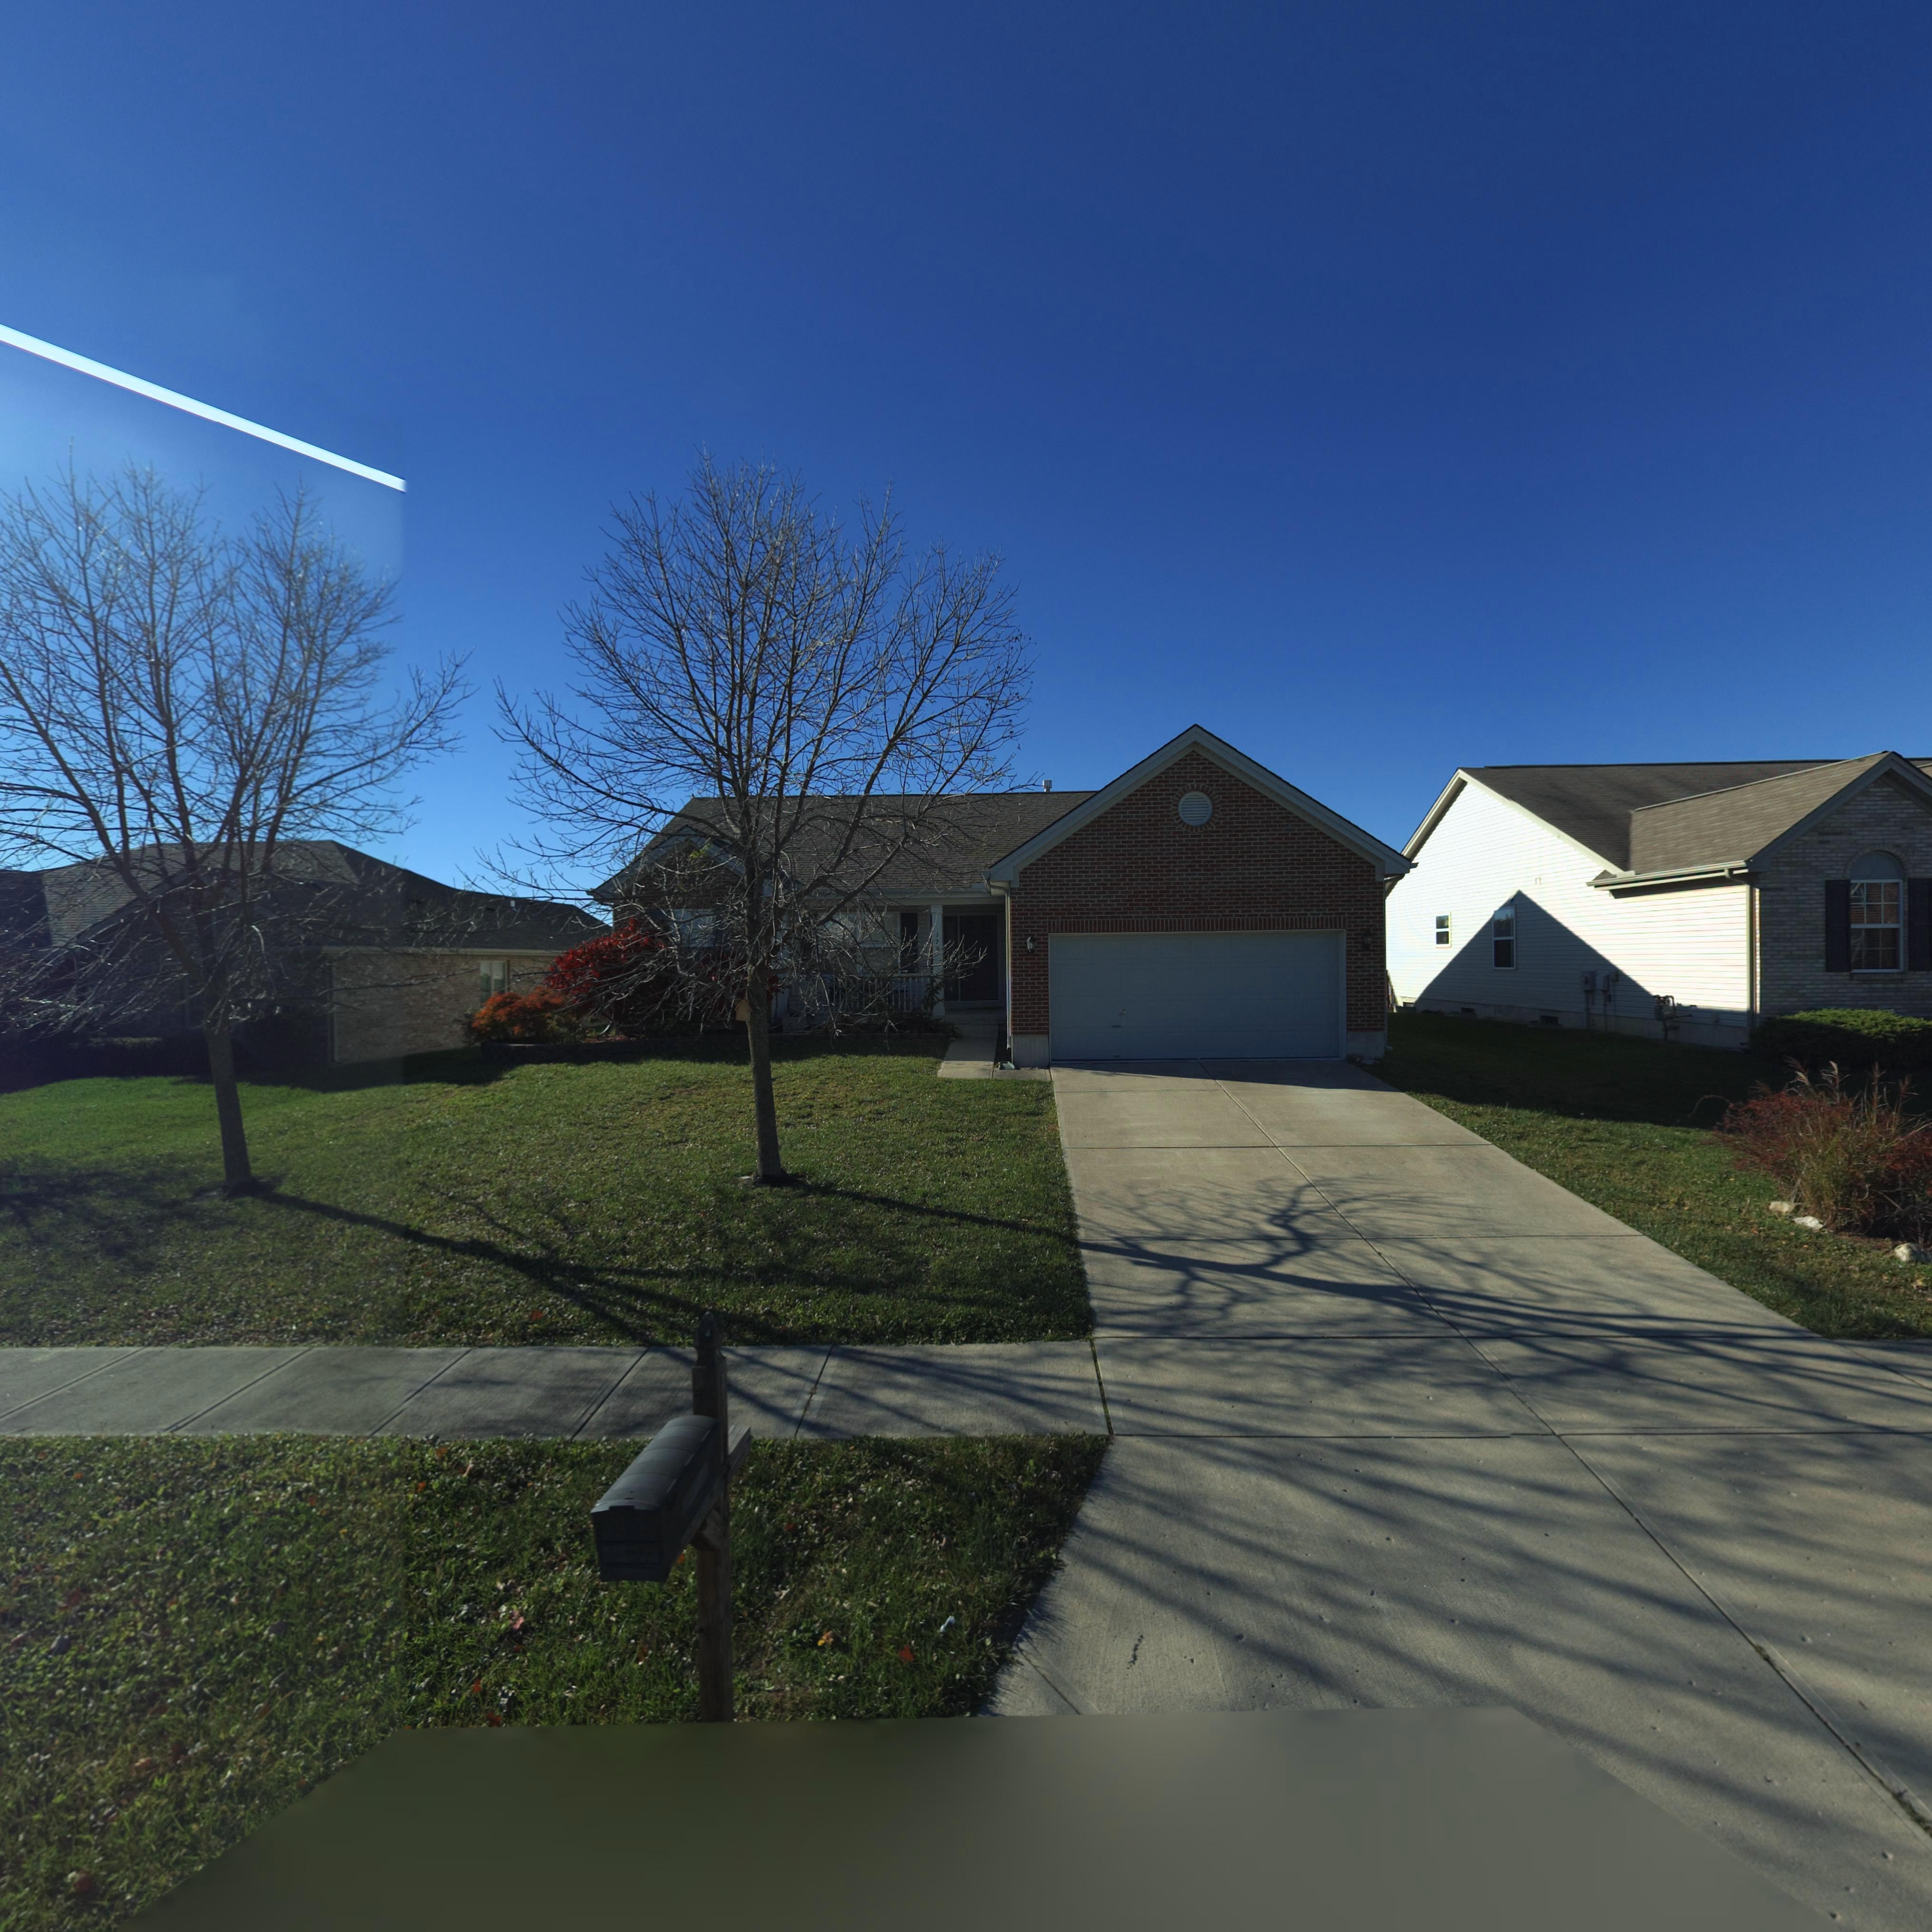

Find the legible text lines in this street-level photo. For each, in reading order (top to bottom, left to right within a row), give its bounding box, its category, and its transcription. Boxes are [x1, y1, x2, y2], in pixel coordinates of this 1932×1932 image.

[935, 932, 940, 952] StreetNumber: 17*